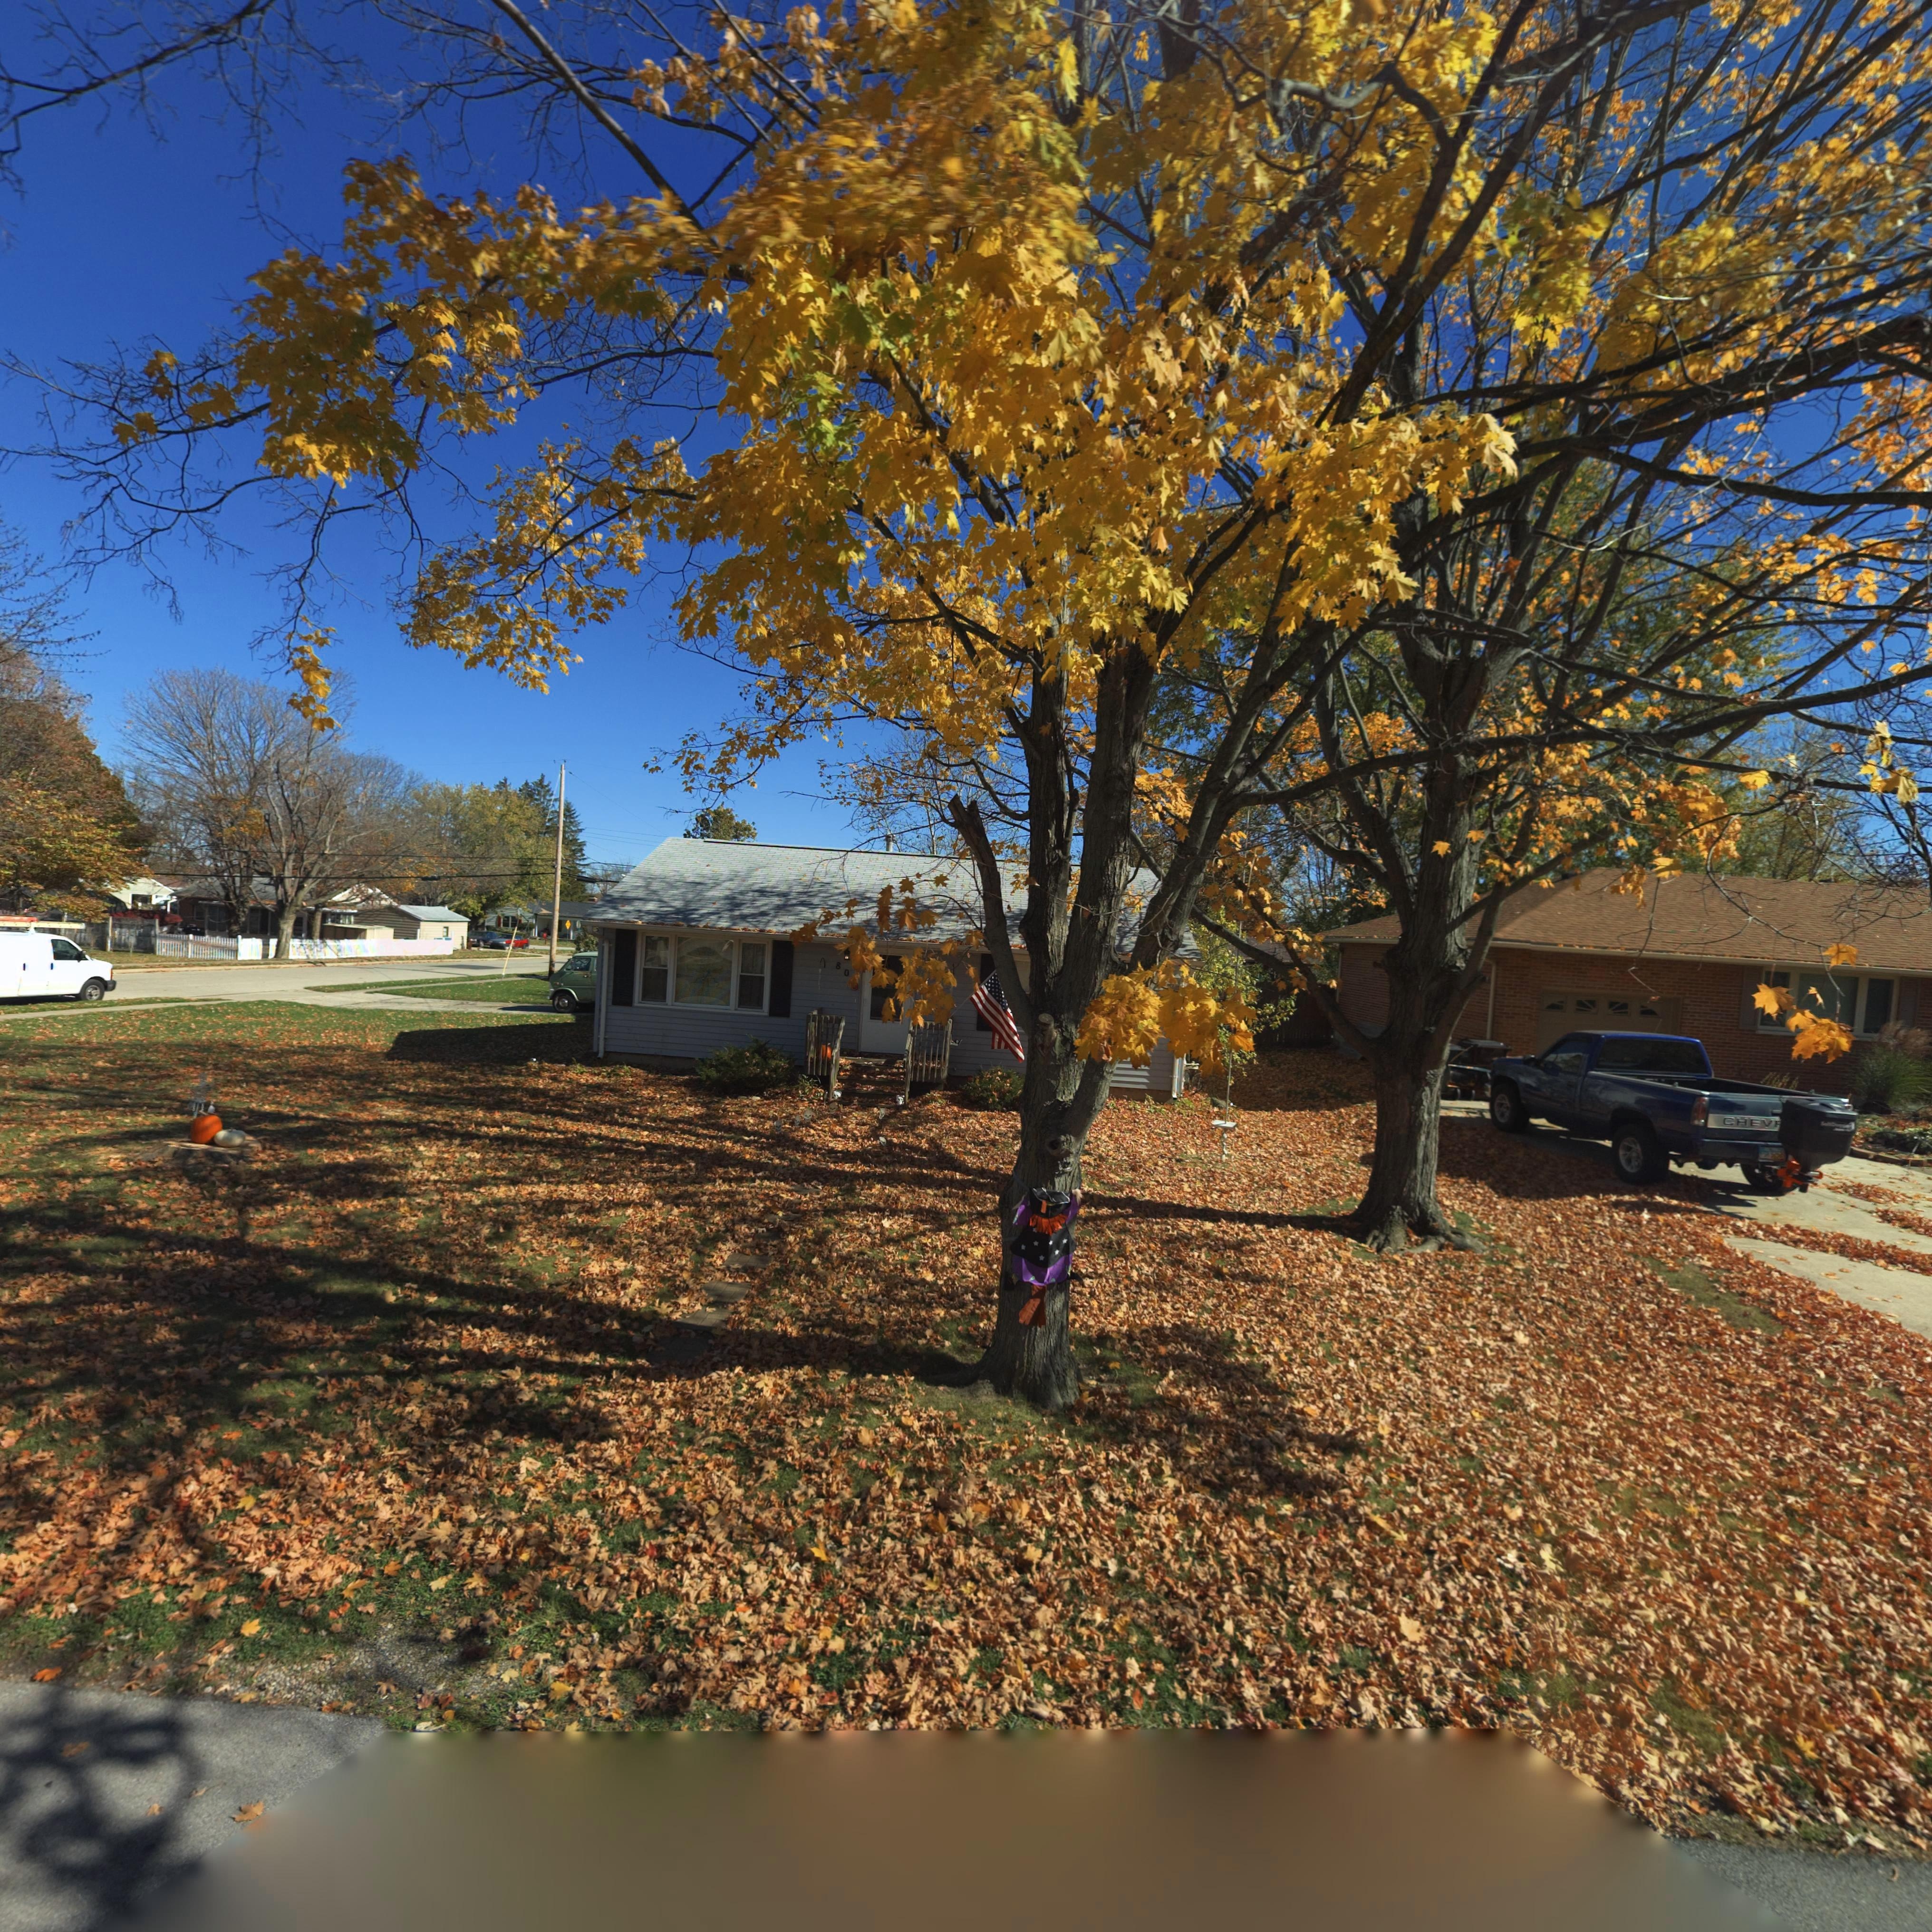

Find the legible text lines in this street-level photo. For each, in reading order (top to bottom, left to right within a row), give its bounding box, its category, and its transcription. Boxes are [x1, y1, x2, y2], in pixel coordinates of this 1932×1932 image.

[835, 961, 850, 977] StreetNumber: 80